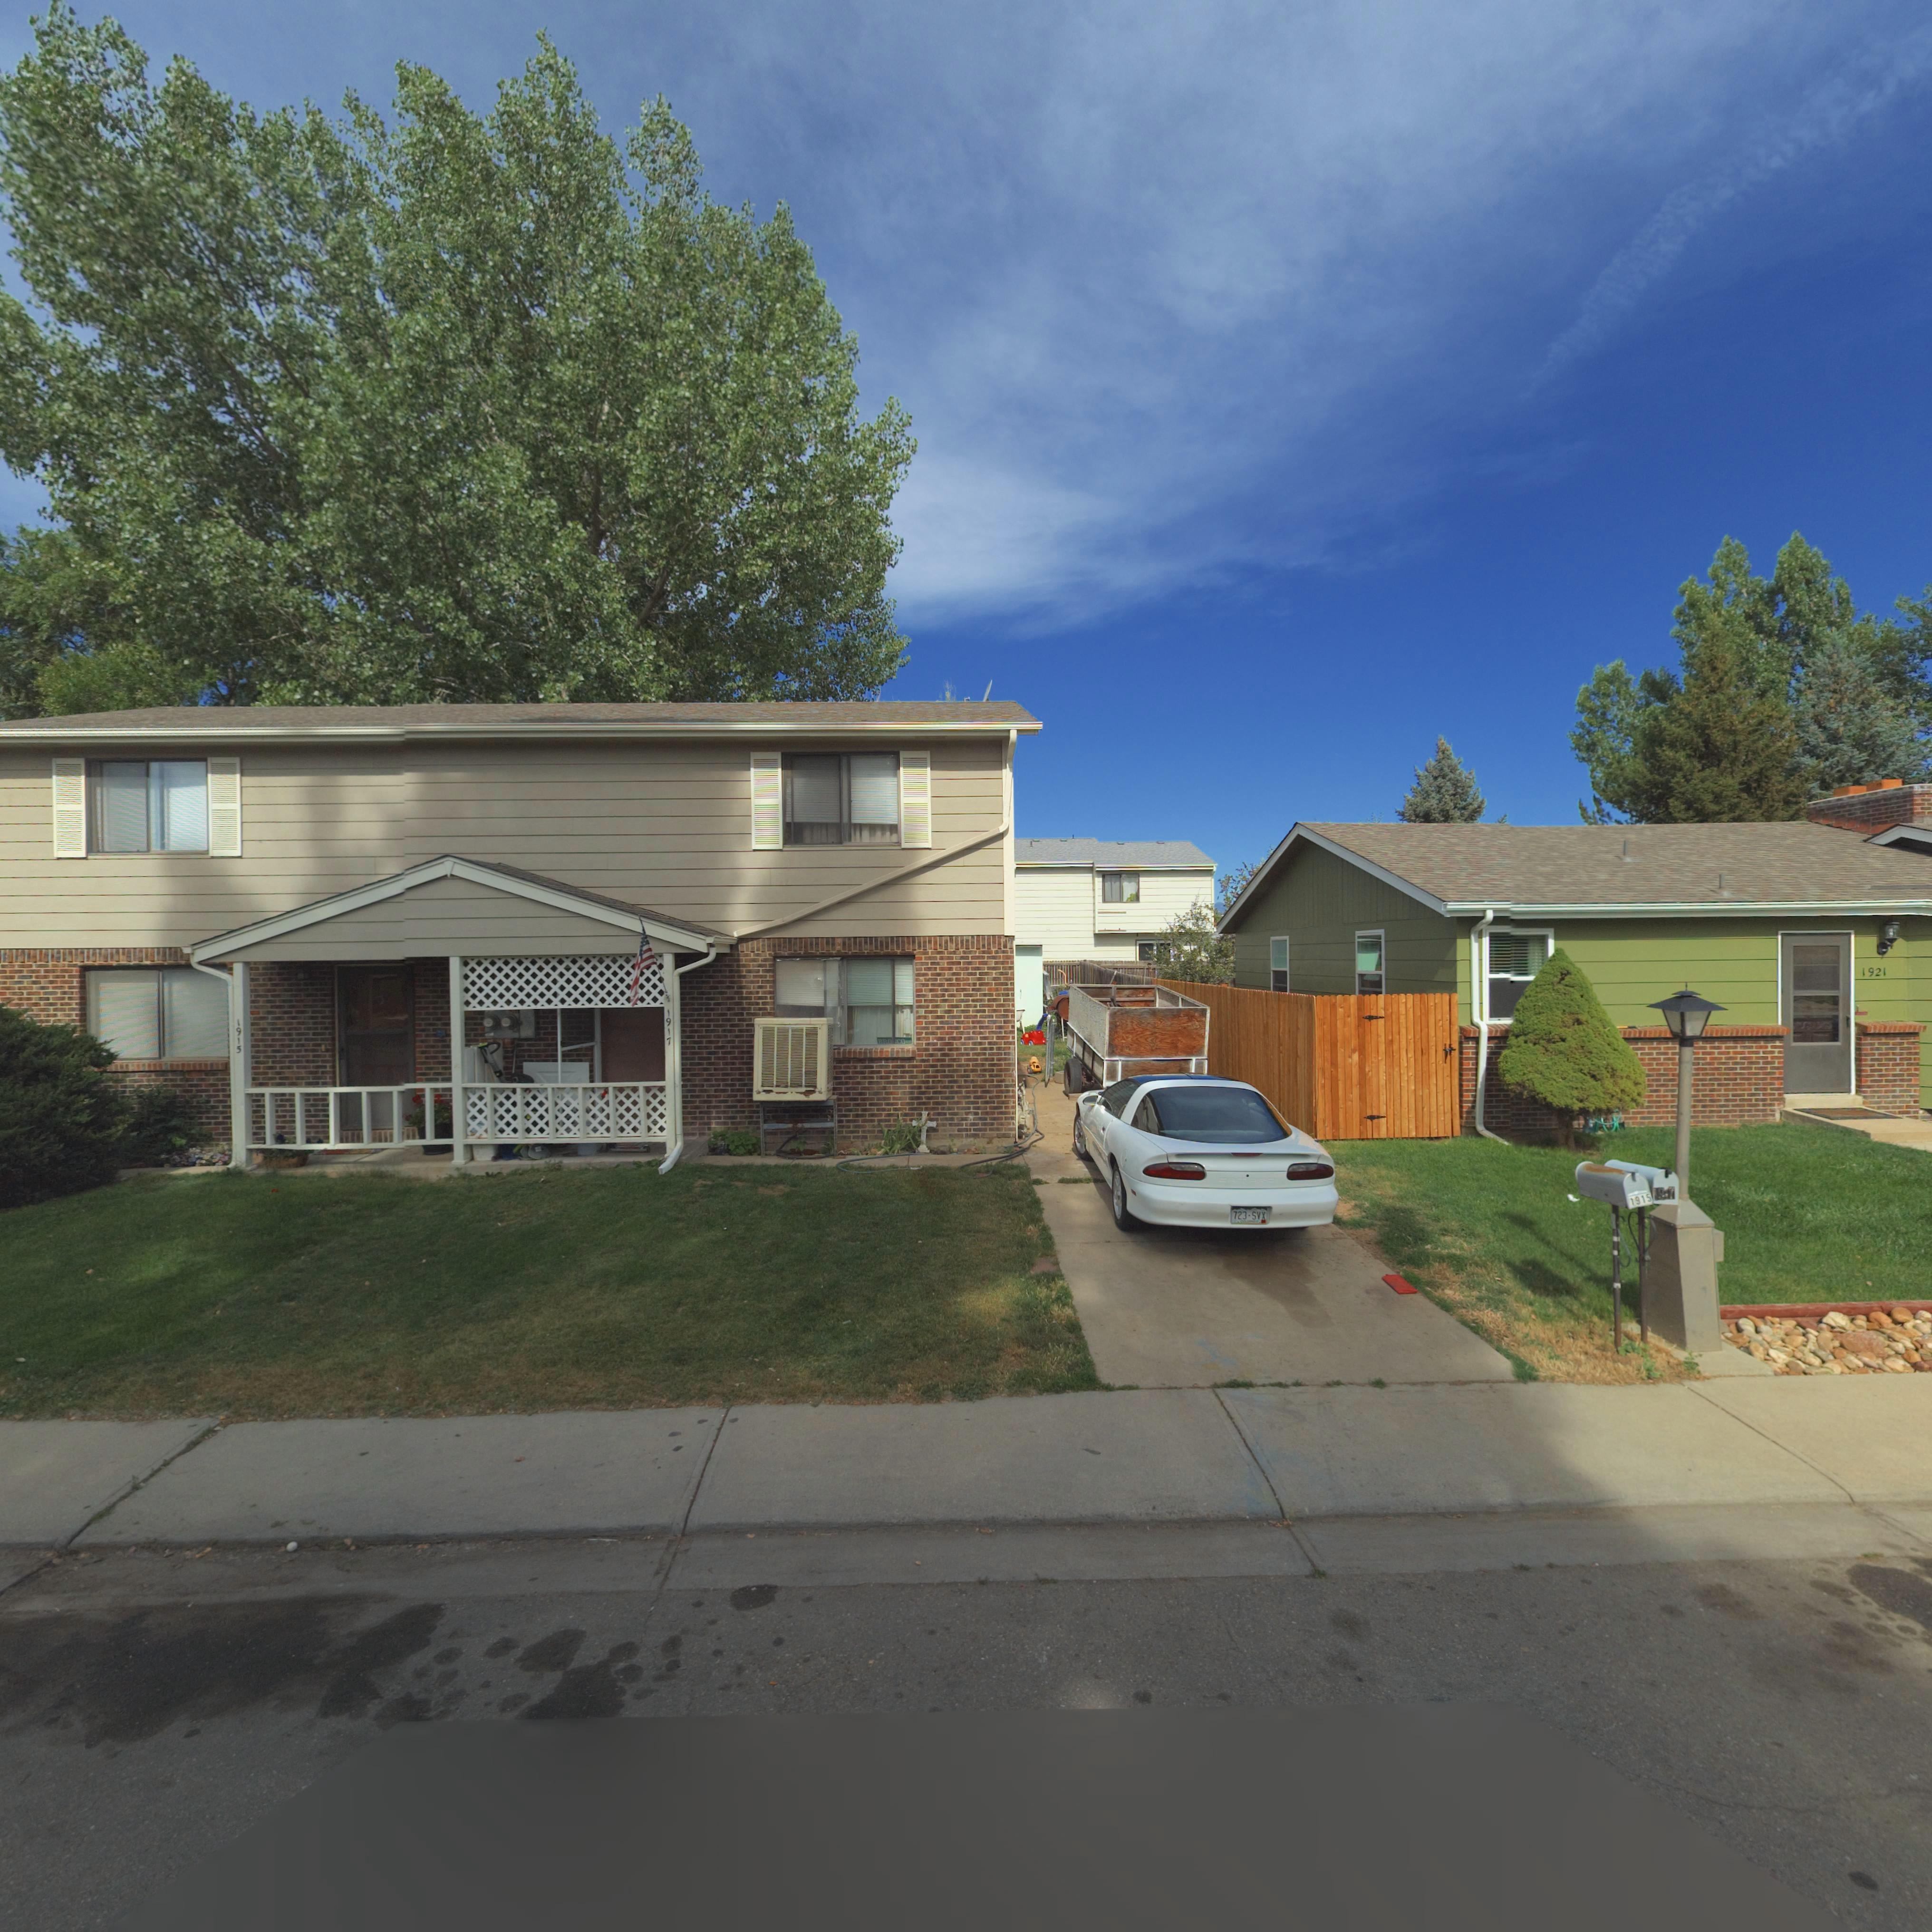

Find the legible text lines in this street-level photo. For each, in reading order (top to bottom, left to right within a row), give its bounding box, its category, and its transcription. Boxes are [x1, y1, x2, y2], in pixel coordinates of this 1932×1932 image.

[1862, 967, 1885, 976] StreetNumber: 1921
[666, 1008, 671, 1045] StreetNumber: 1917
[235, 1018, 241, 1053] StreetNumber: 1915
[1629, 1193, 1652, 1207] StreetNumber: 1915
[1653, 1186, 1675, 1200] StreetNumber: 1917